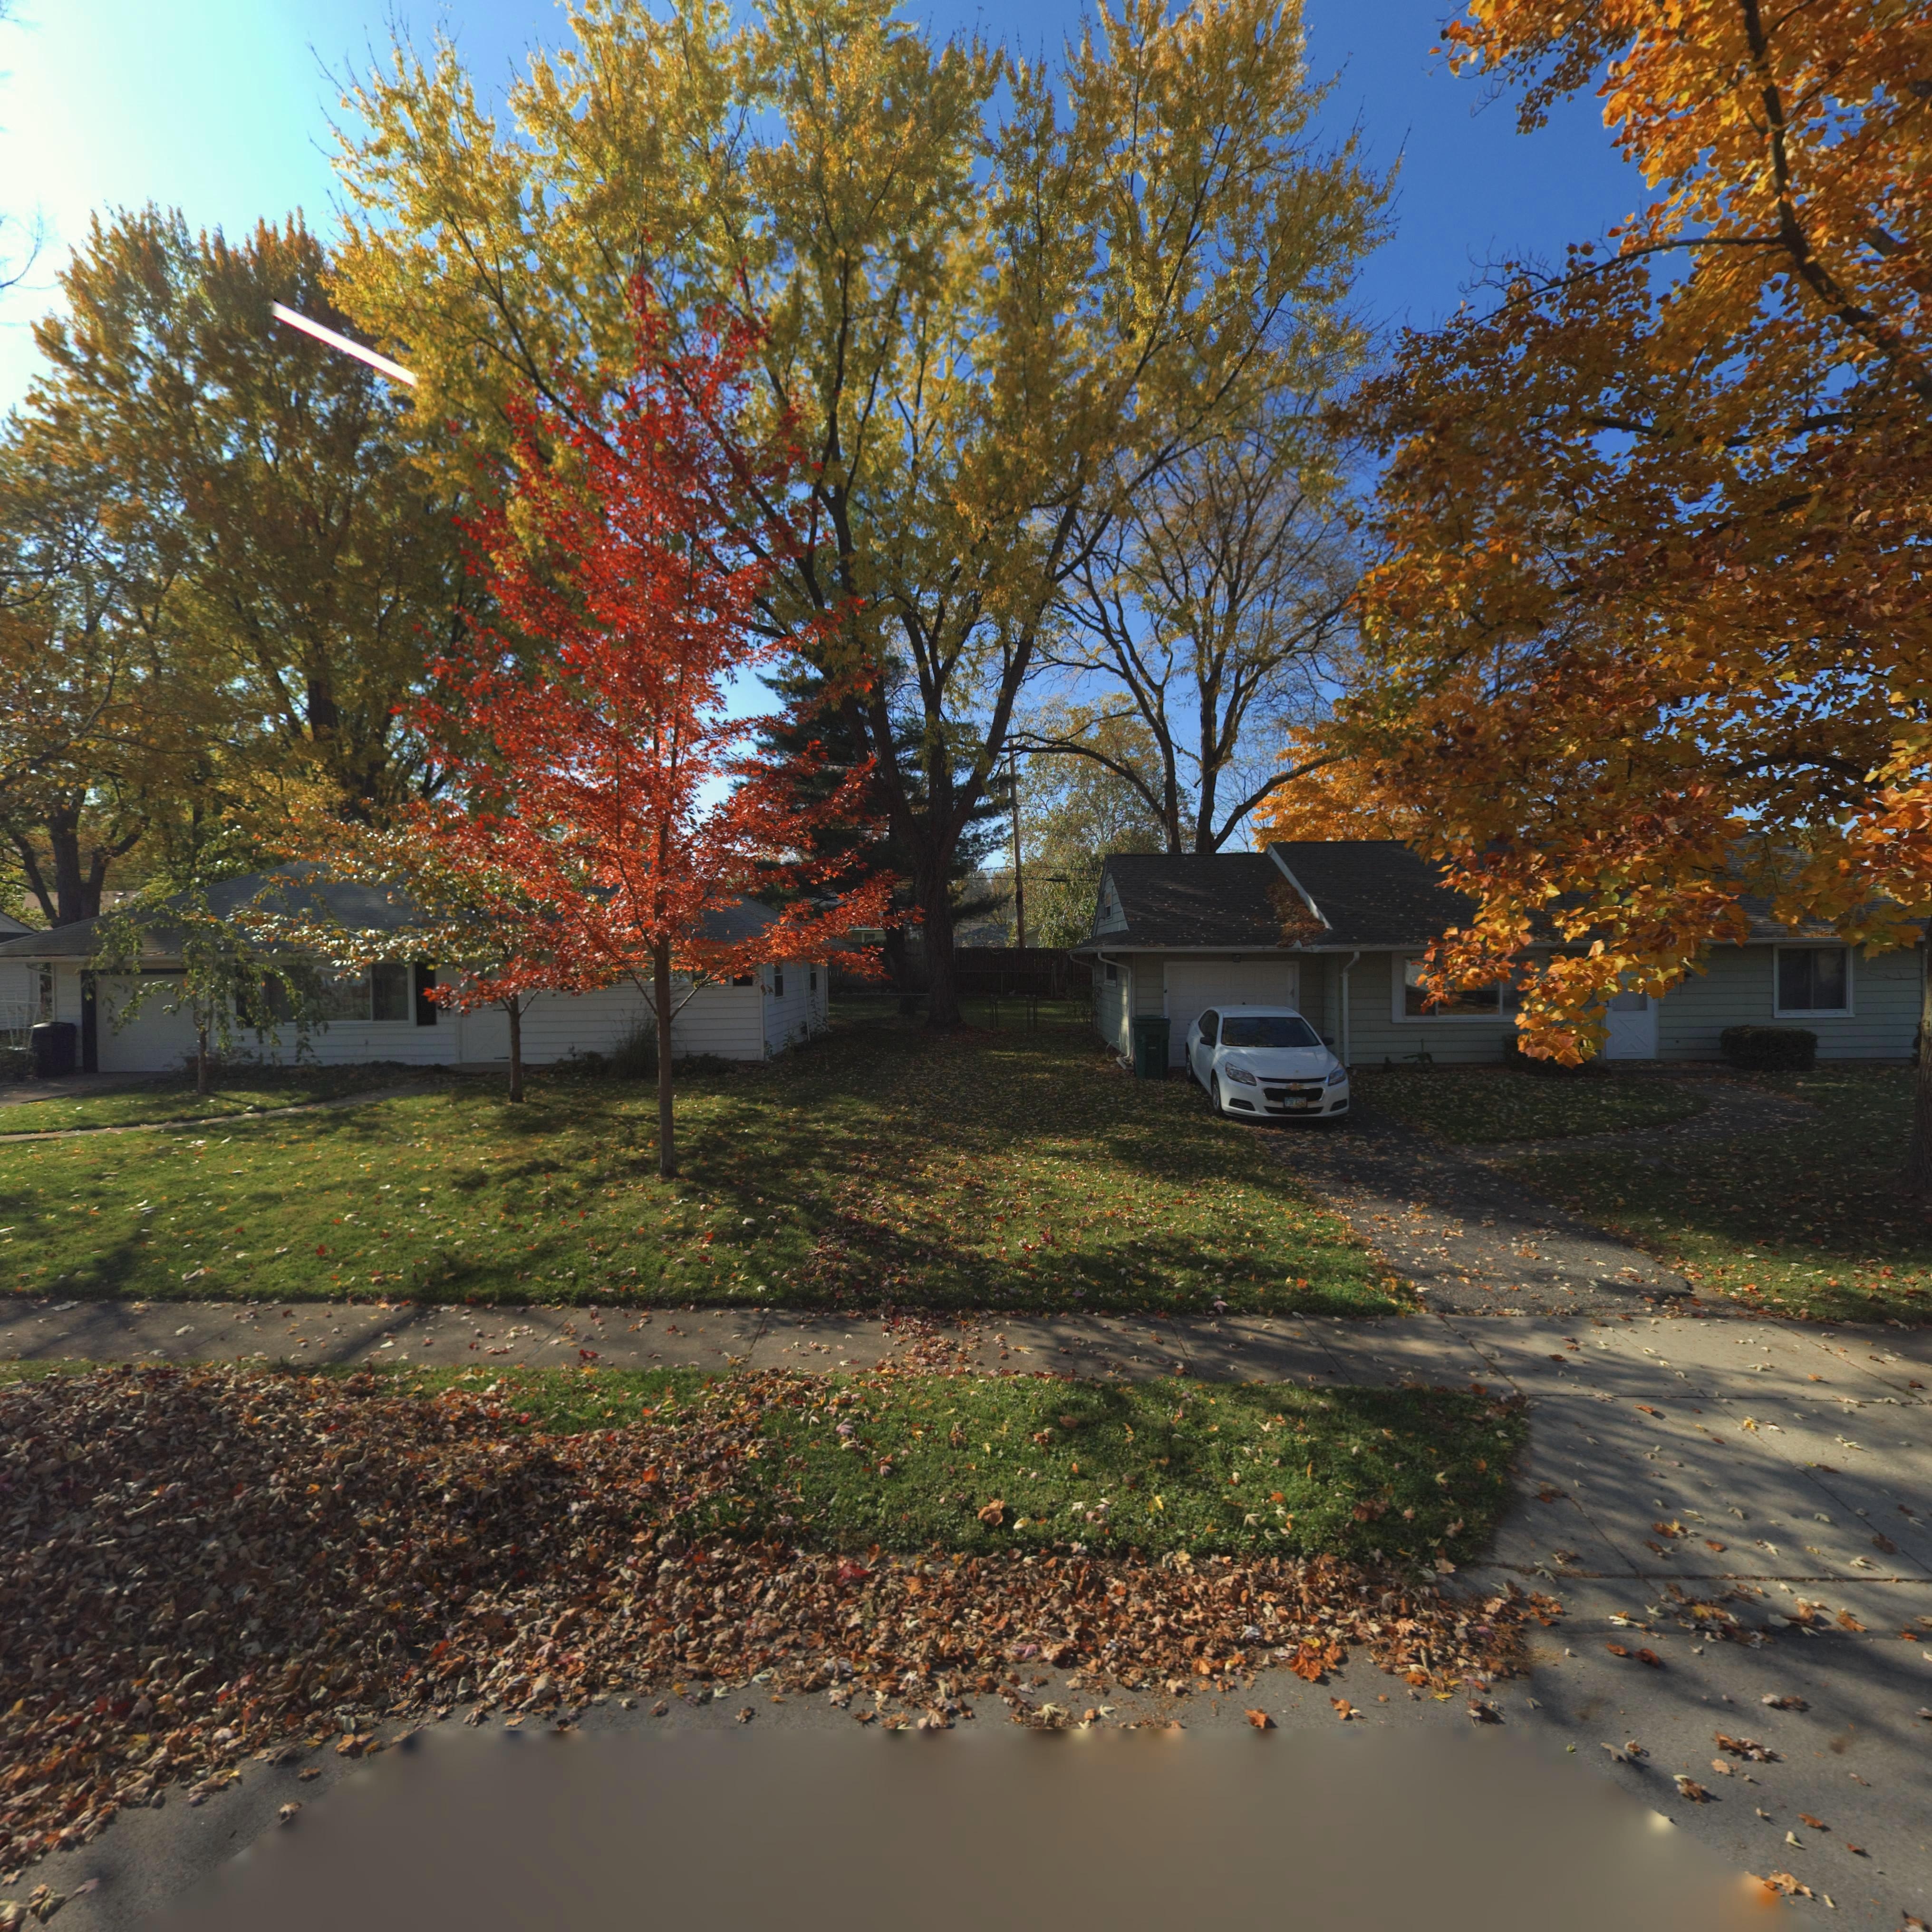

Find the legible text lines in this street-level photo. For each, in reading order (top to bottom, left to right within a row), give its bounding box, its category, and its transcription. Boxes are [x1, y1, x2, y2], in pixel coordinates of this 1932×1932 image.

[1285, 1100, 1305, 1105] None: F*R*4292